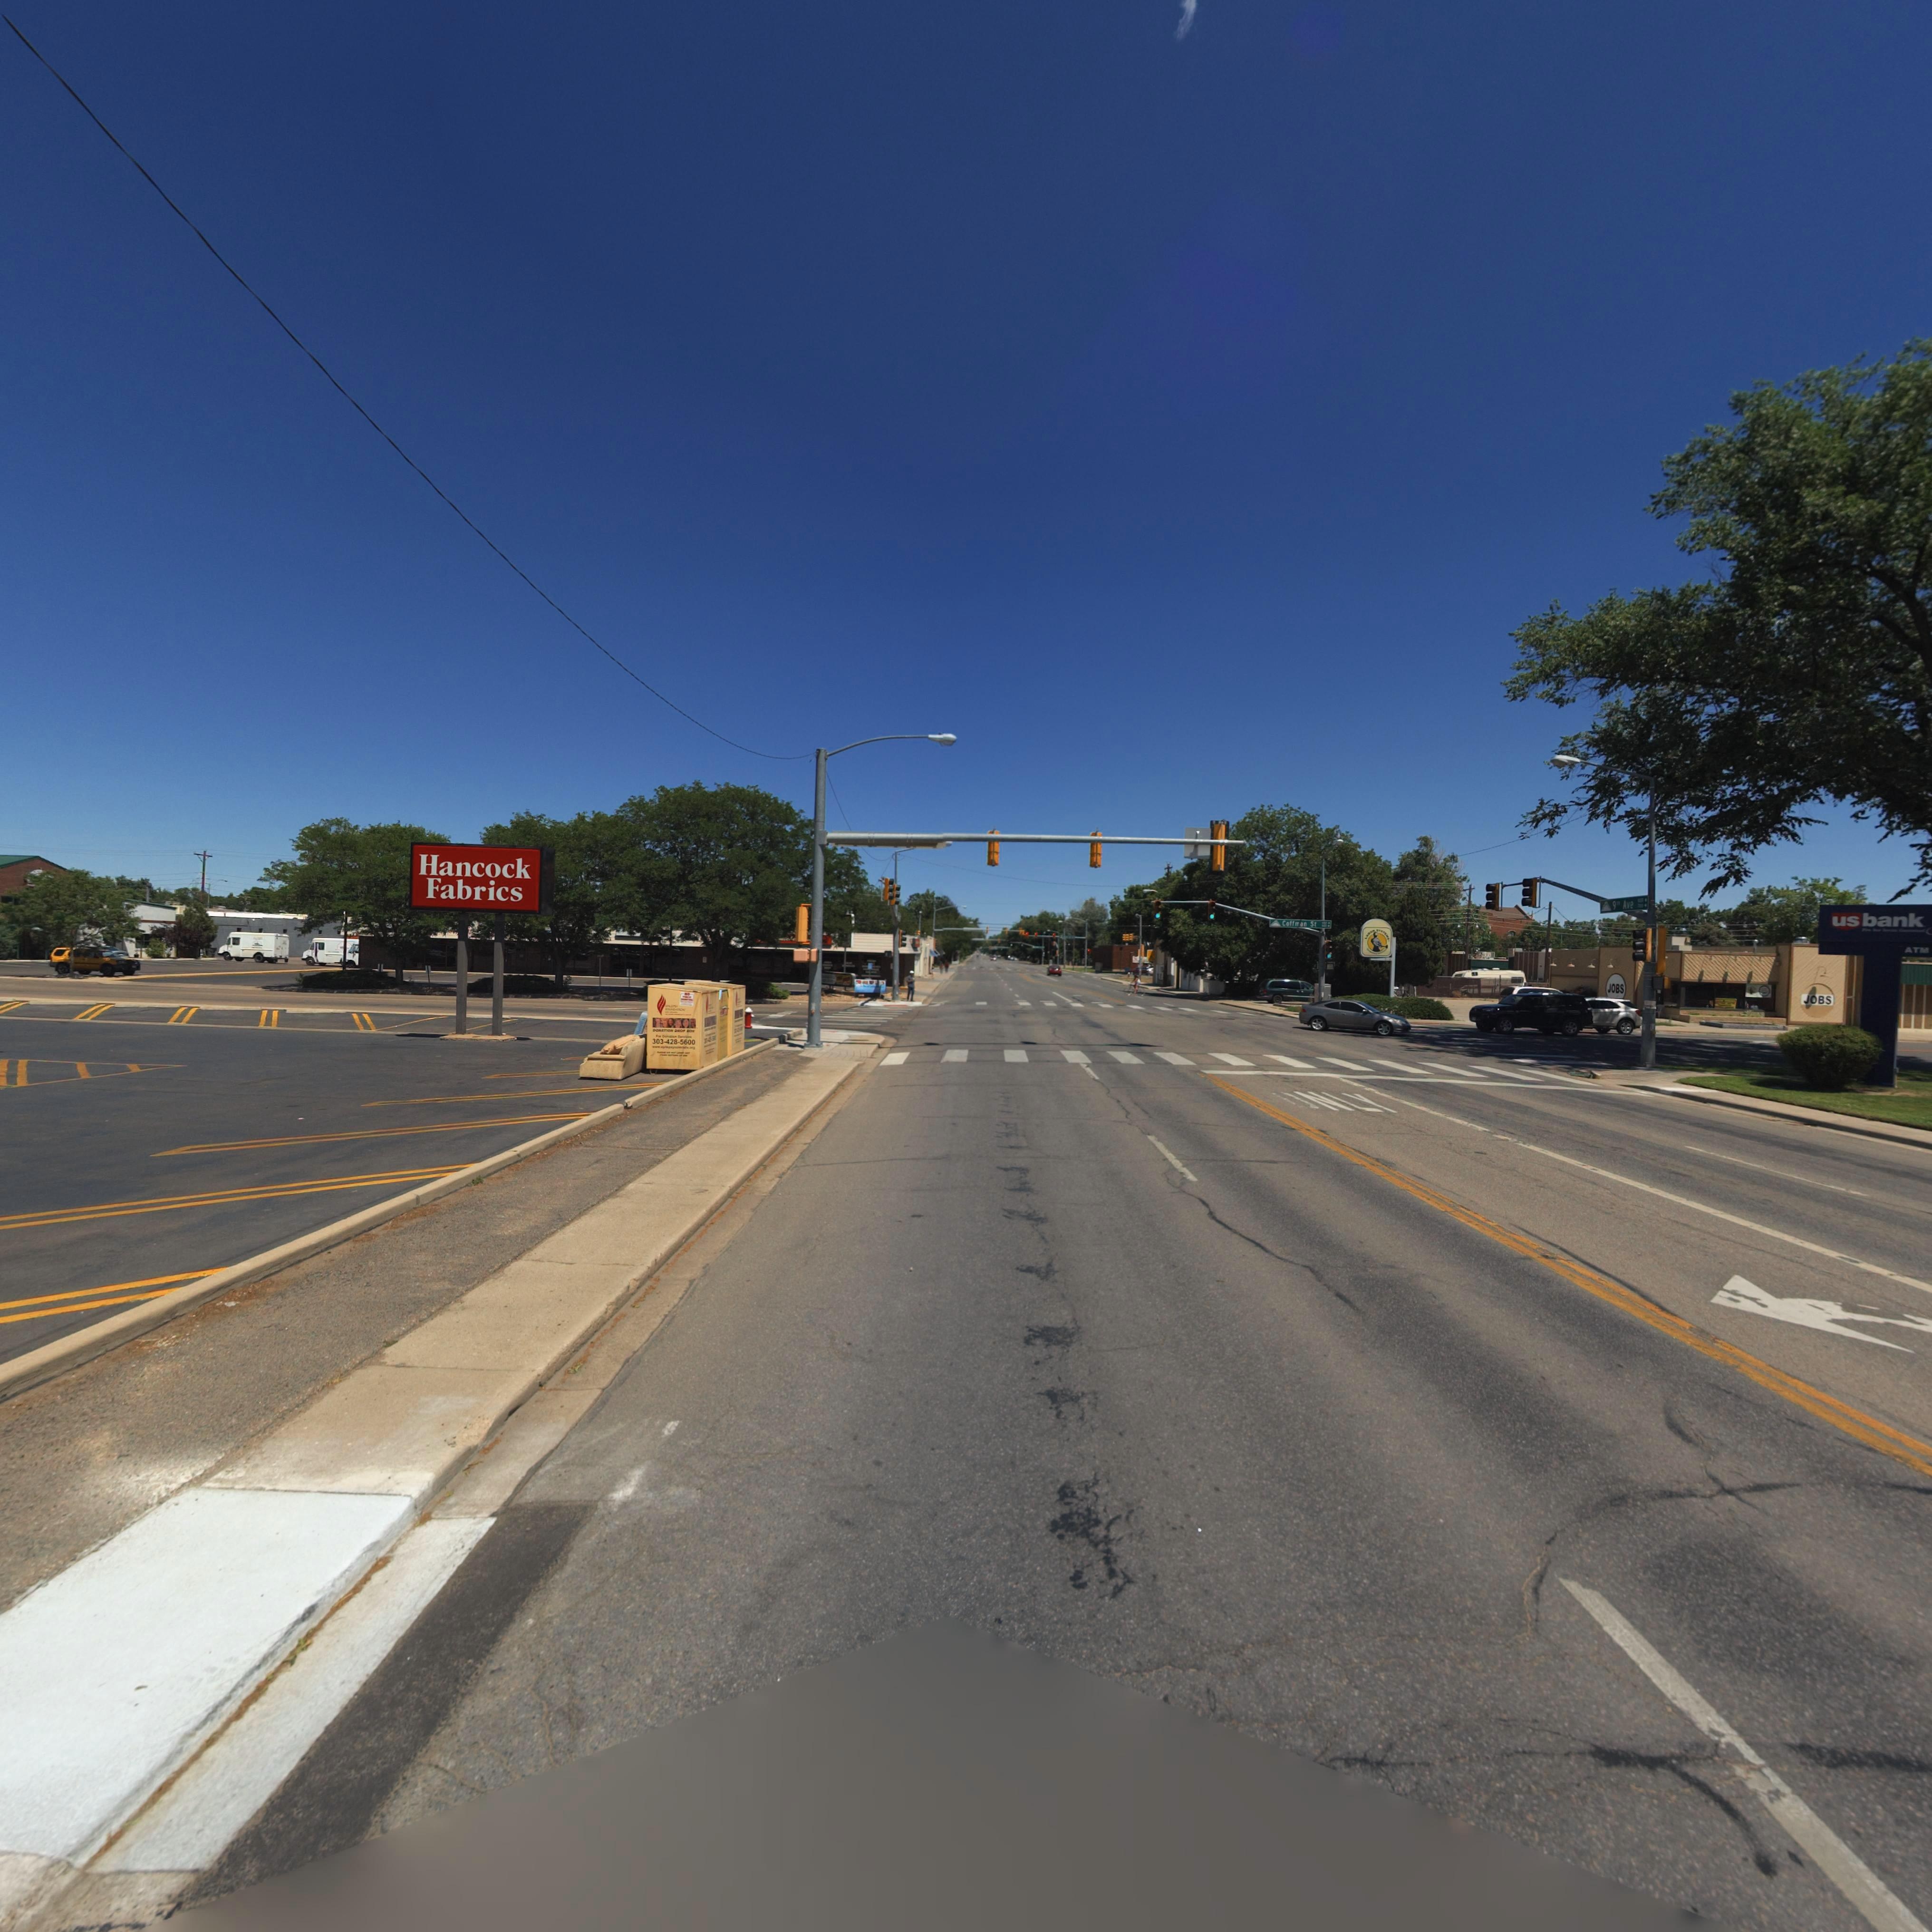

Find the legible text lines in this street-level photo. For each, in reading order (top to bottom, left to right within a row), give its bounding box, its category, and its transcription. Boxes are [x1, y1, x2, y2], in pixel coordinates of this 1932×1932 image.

[418, 853, 531, 879] BusinessName: Hancock
[425, 877, 523, 902] BusinessName: Fabrics
[1612, 899, 1633, 910] StreetName: 9th Ave
[1637, 897, 1643, 902] StreetNumberRange: 800
[1637, 903, 1647, 908] StreetNumberRange: 700 ->
[1282, 920, 1316, 927] StreetName: Coffman St
[1831, 912, 1924, 927] BusinessName: usbank
[1364, 928, 1390, 940] BusinessName: LABOR SYSTEMS